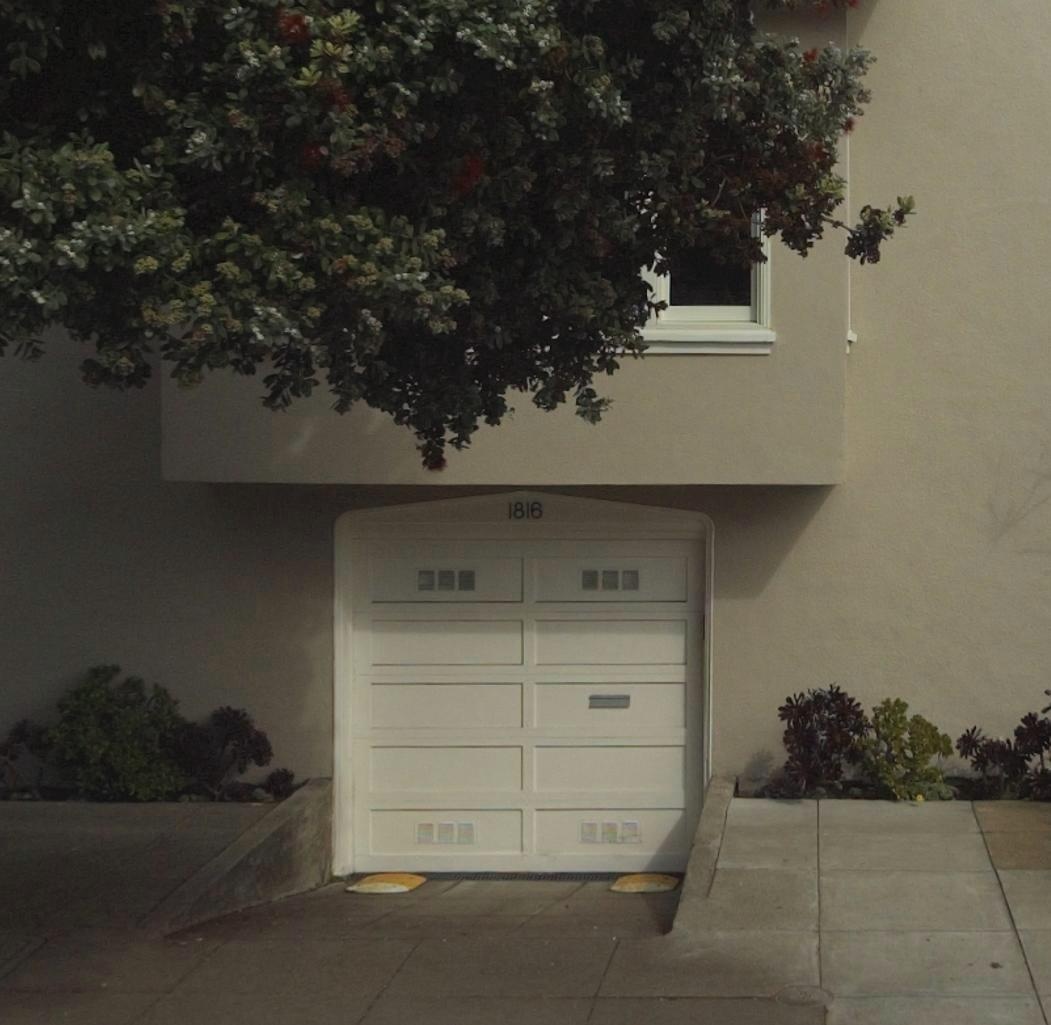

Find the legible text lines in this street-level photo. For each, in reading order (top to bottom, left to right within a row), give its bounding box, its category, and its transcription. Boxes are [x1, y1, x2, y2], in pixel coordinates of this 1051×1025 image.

[507, 501, 544, 521] StreetNumber: 1816